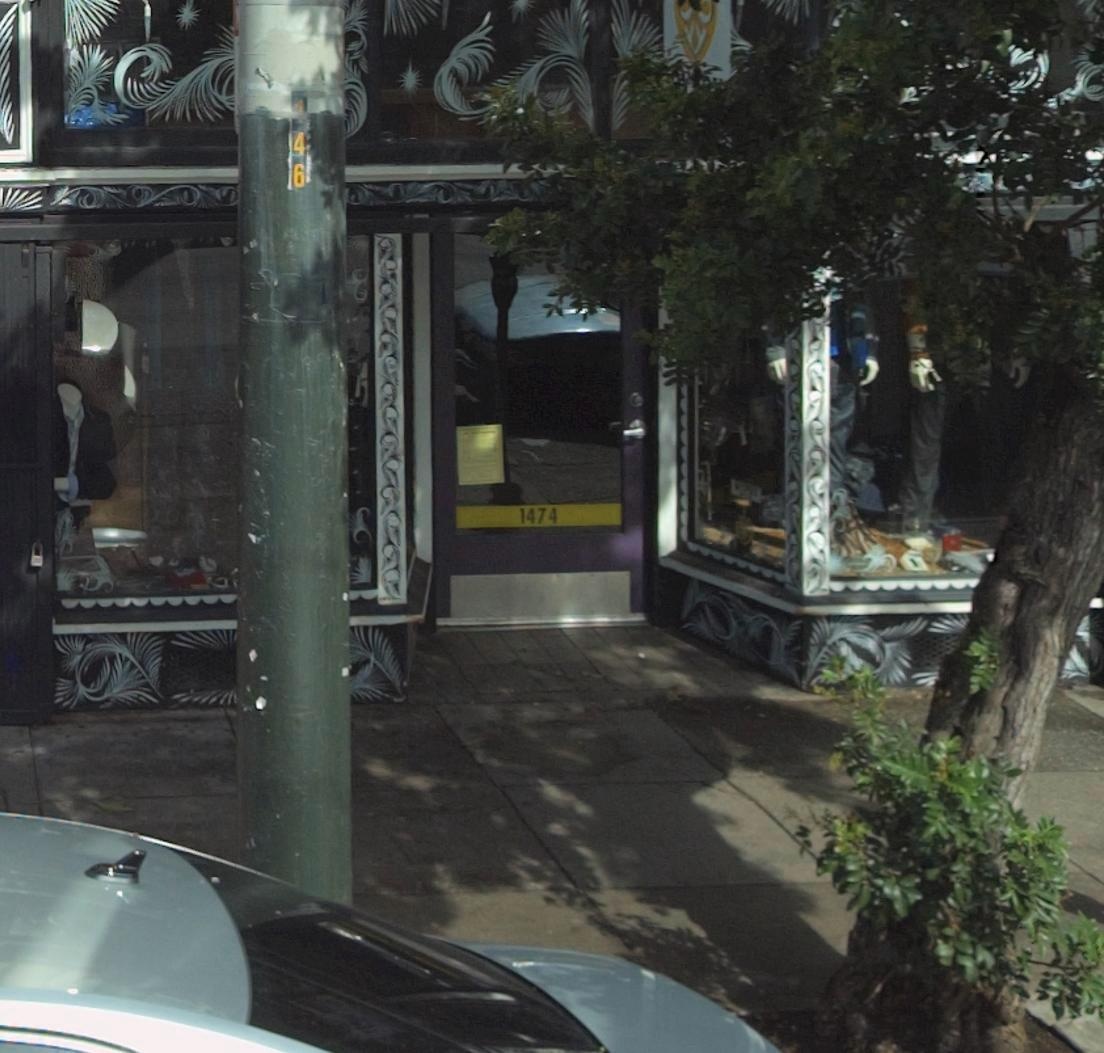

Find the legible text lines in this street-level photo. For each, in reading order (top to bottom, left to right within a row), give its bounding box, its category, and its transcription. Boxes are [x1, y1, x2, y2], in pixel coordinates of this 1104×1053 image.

[290, 97, 308, 190] None: 146
[517, 505, 560, 526] StreetNumber: 1474